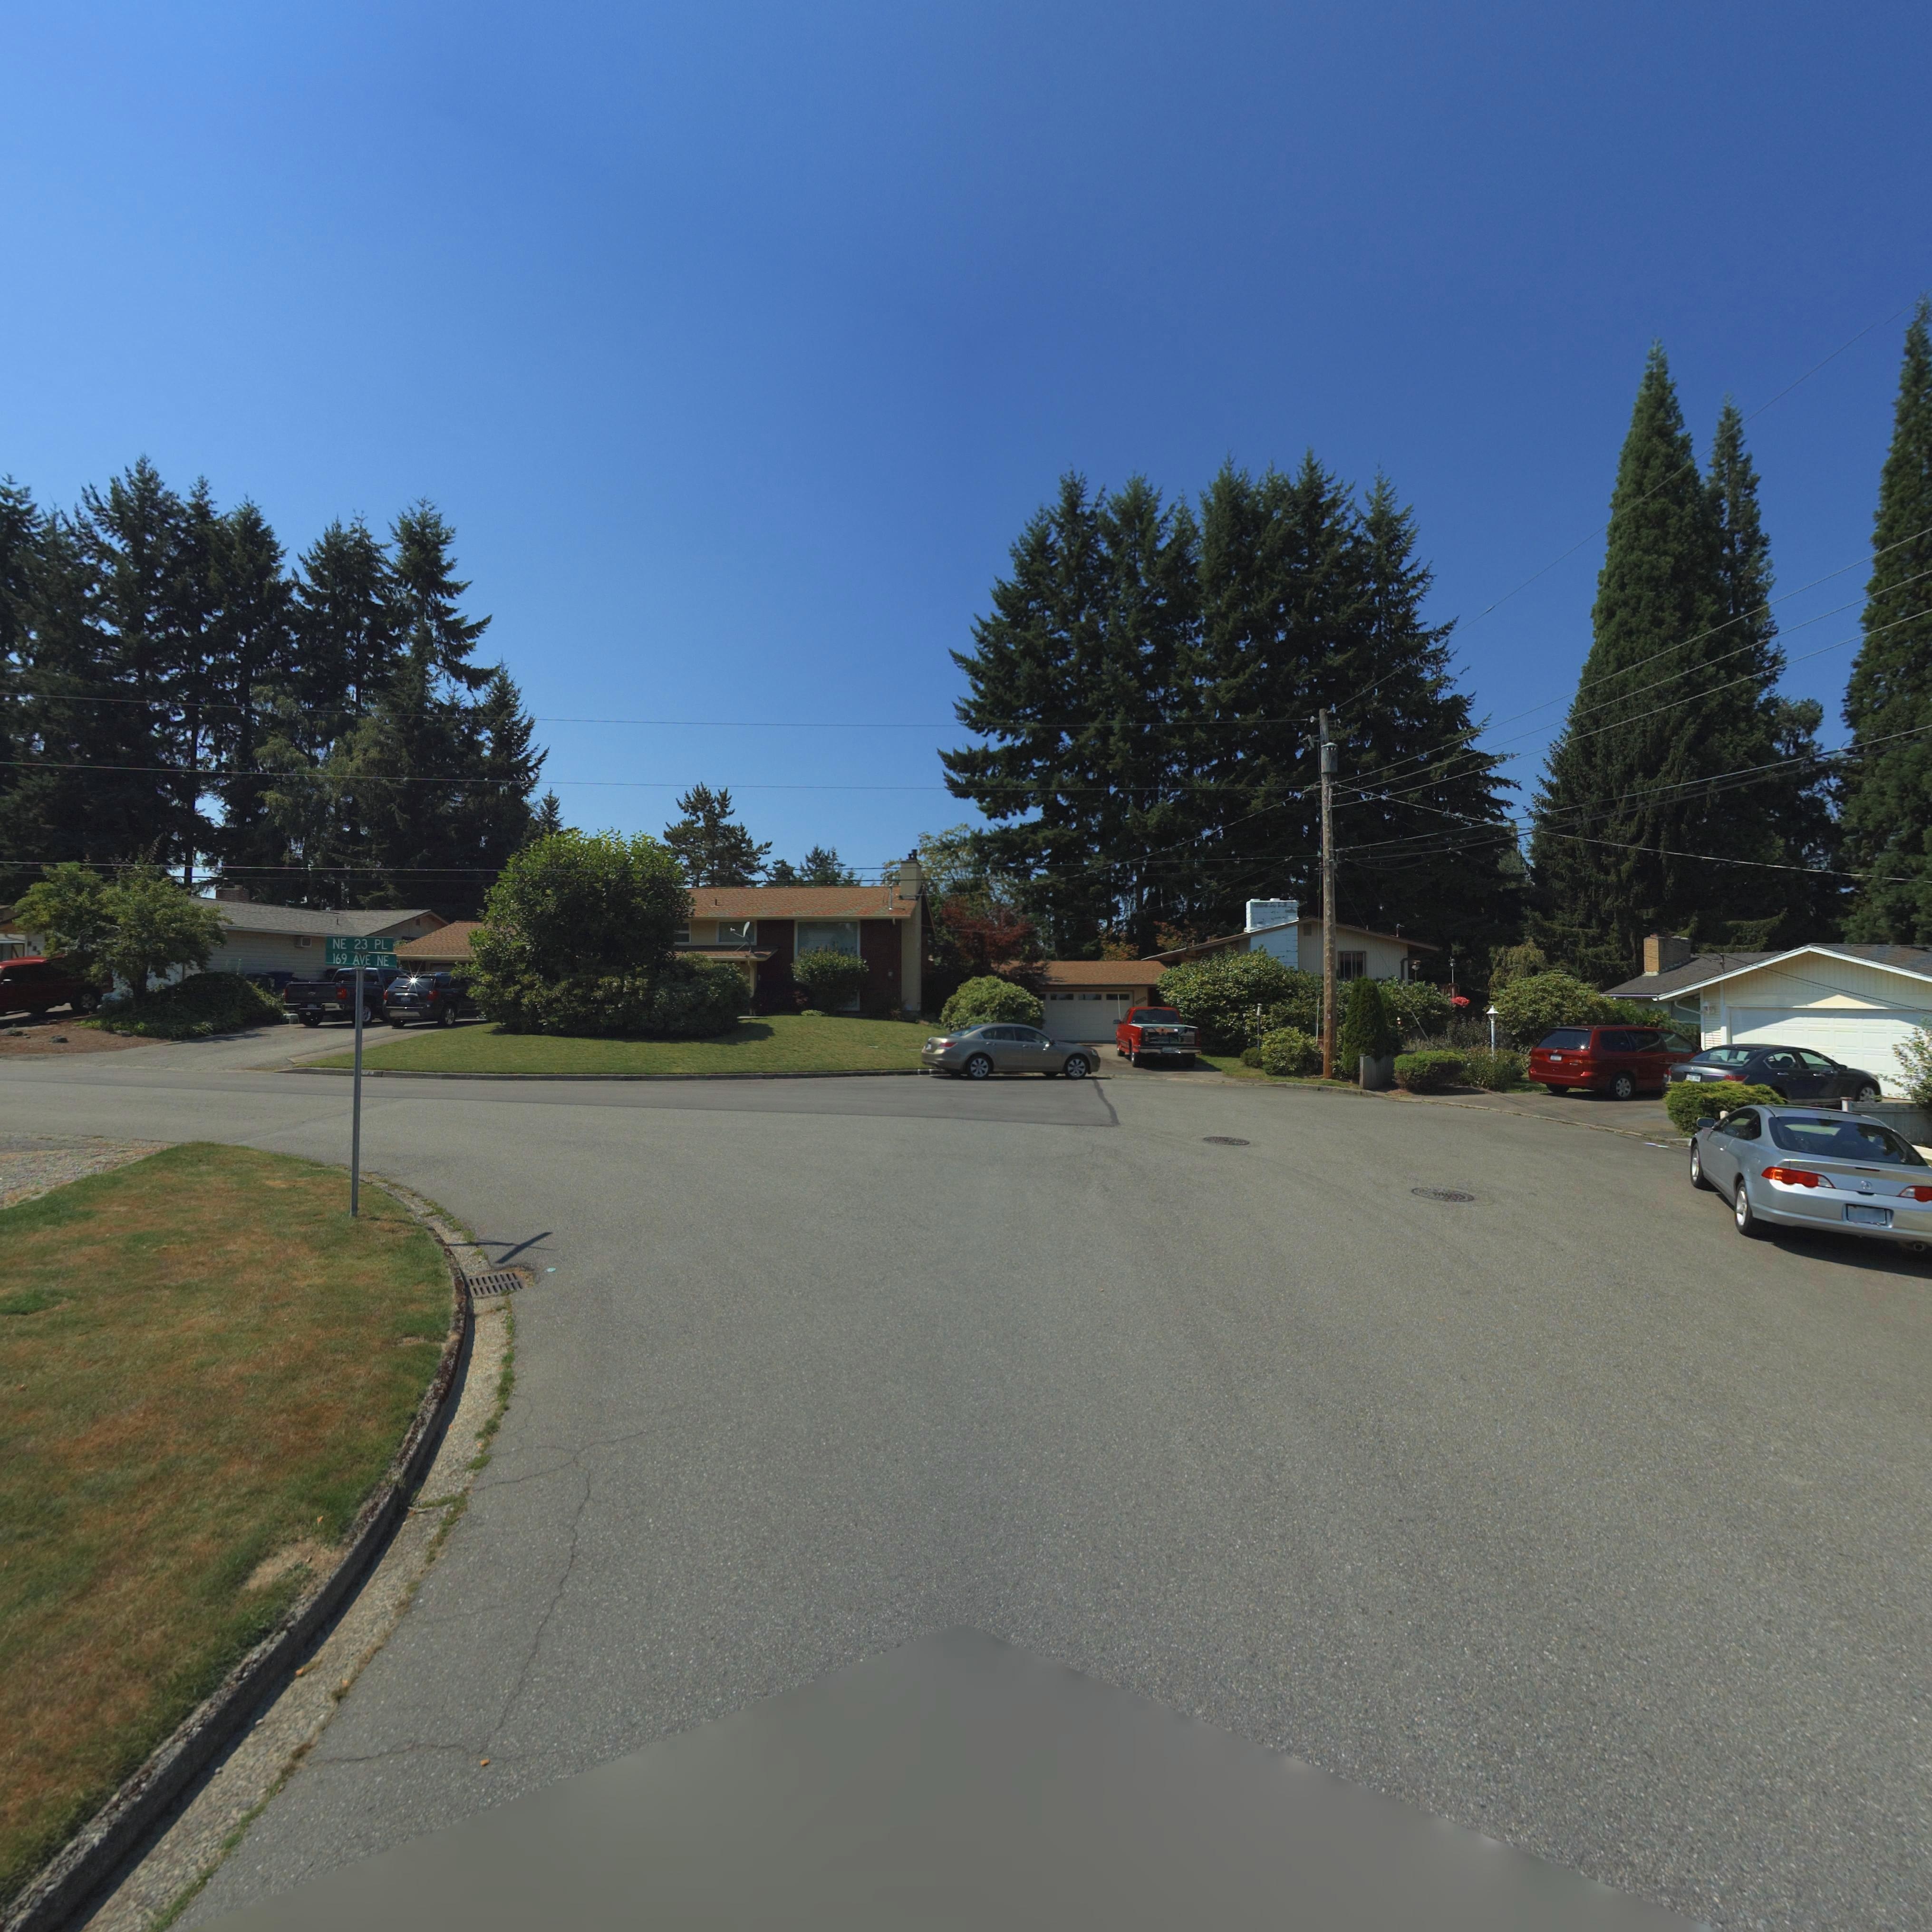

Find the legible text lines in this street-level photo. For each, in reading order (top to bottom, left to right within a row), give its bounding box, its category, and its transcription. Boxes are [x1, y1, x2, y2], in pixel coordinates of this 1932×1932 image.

[333, 938, 387, 949] StreetName: NE 23 PL
[332, 952, 389, 966] StreetName: 169 AVE NE